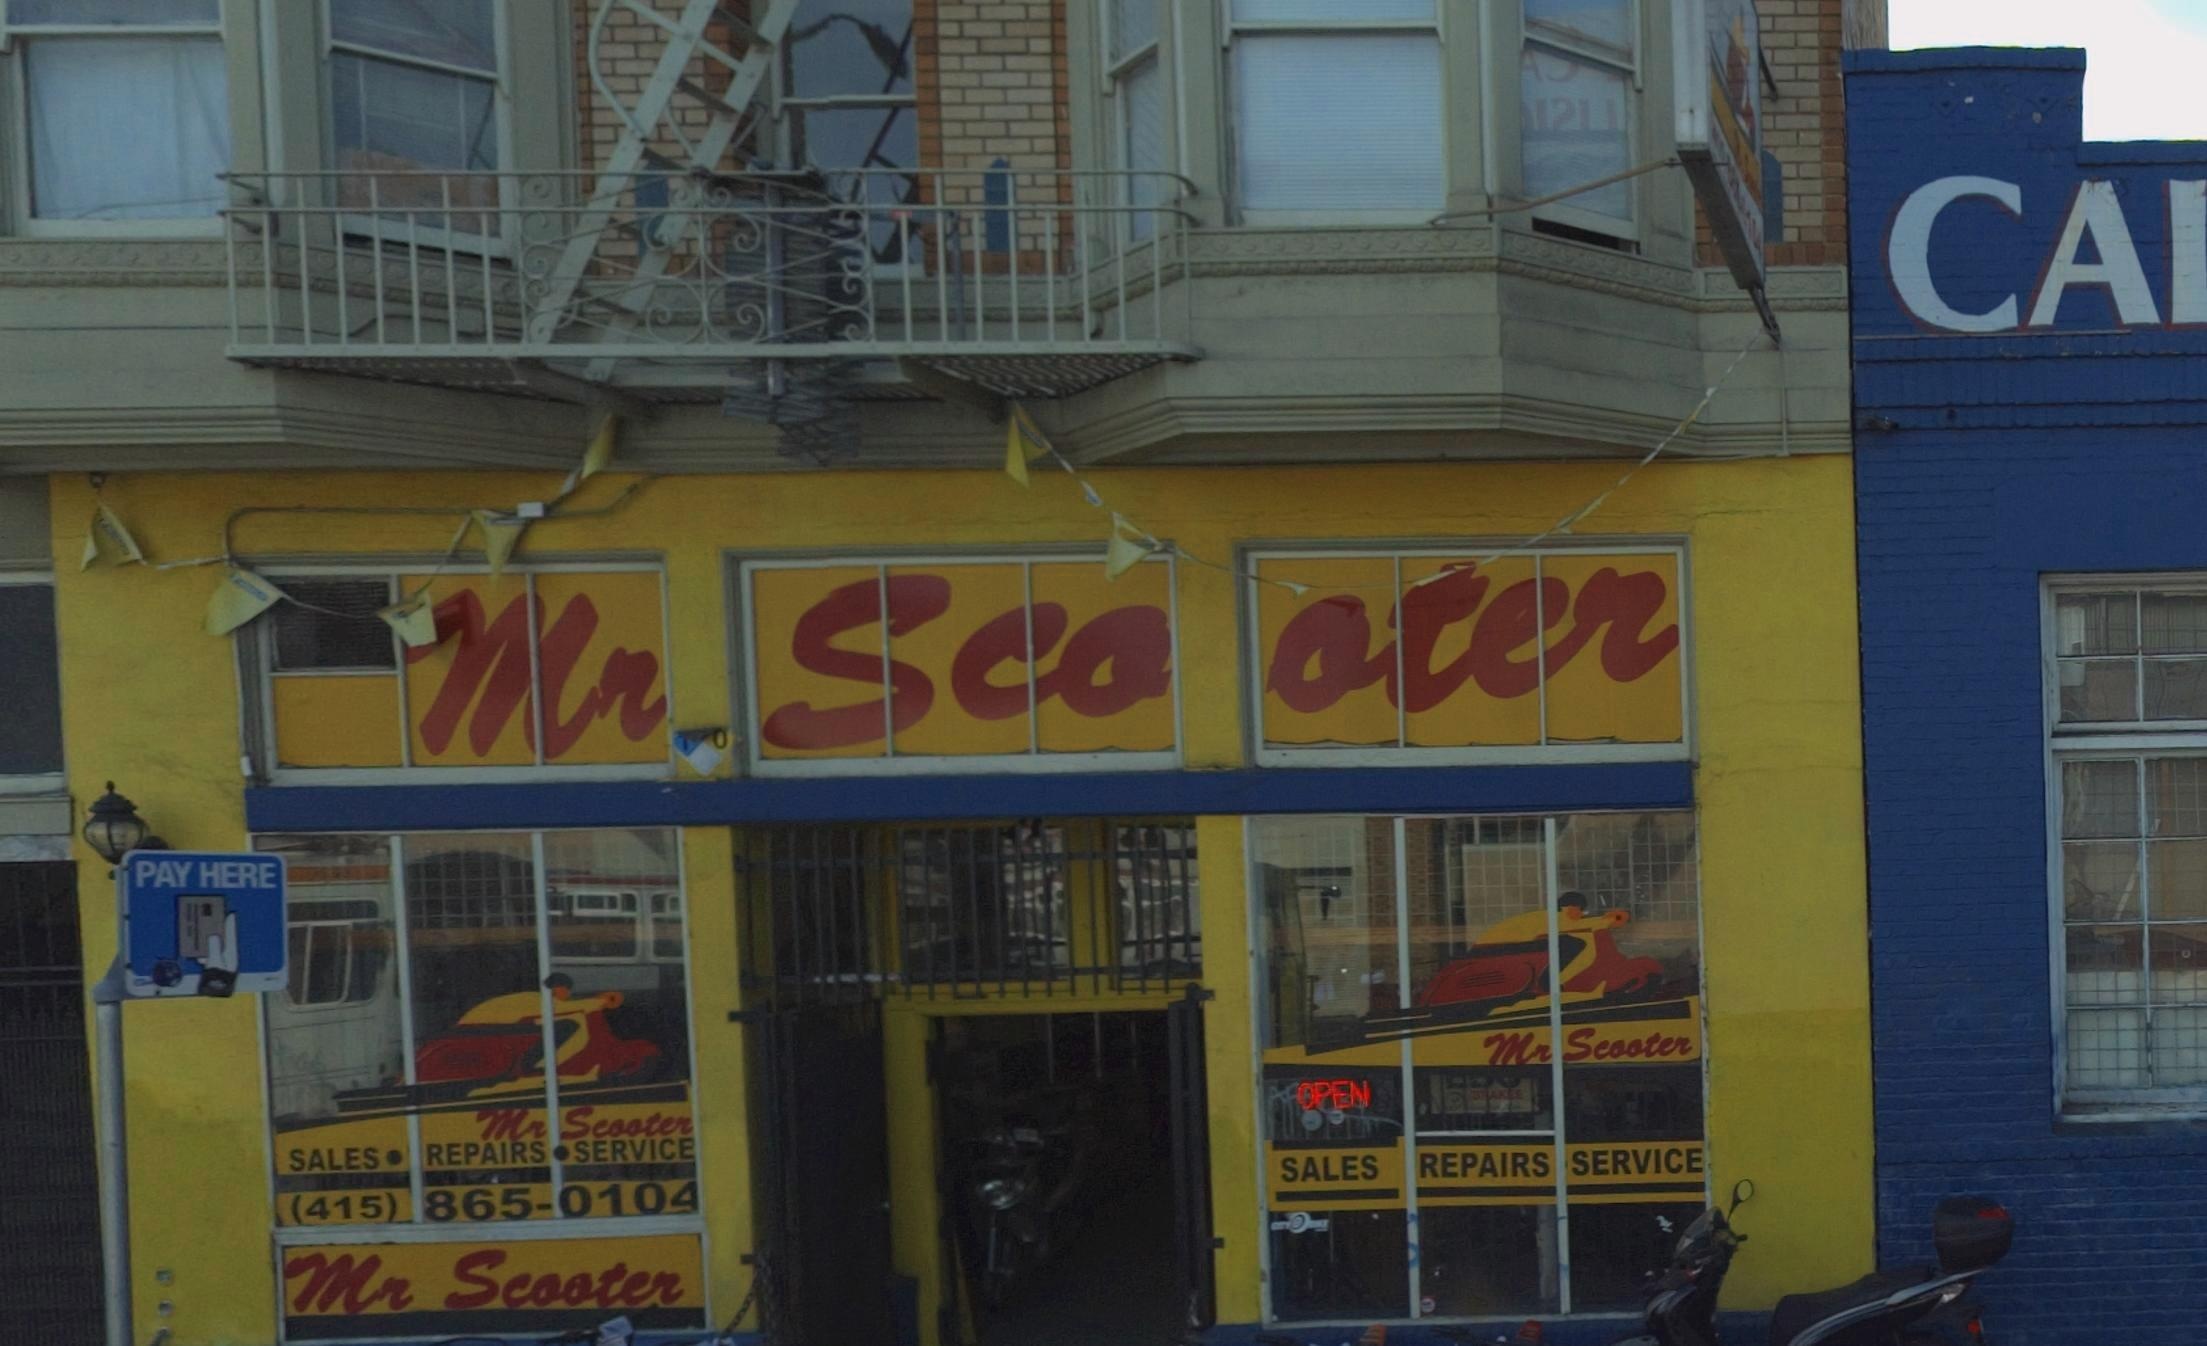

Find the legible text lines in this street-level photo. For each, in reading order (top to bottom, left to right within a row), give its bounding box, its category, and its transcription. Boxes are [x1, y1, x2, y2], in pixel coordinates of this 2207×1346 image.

[1873, 165, 2176, 346] BusinessName: CA
[397, 546, 1692, 769] BusinessName: Mr Scooter
[131, 857, 282, 892] None: PAY HERE
[1479, 1025, 1697, 1069] BusinessName: Mr Scooter
[1294, 1074, 1374, 1114] None: OPEN
[469, 1099, 698, 1144] BusinessName: Mr Scooter
[283, 1132, 700, 1177] None: SALES * REPAIRS * SERVICE
[1278, 1151, 1383, 1186] None: SALES
[1417, 1148, 1555, 1180] None: REPAIRS
[1566, 1144, 1708, 1180] None: SERVICE
[301, 1176, 704, 1229] None: 415) 865-0104
[277, 1243, 692, 1321] BusinessName: Mr Scooter